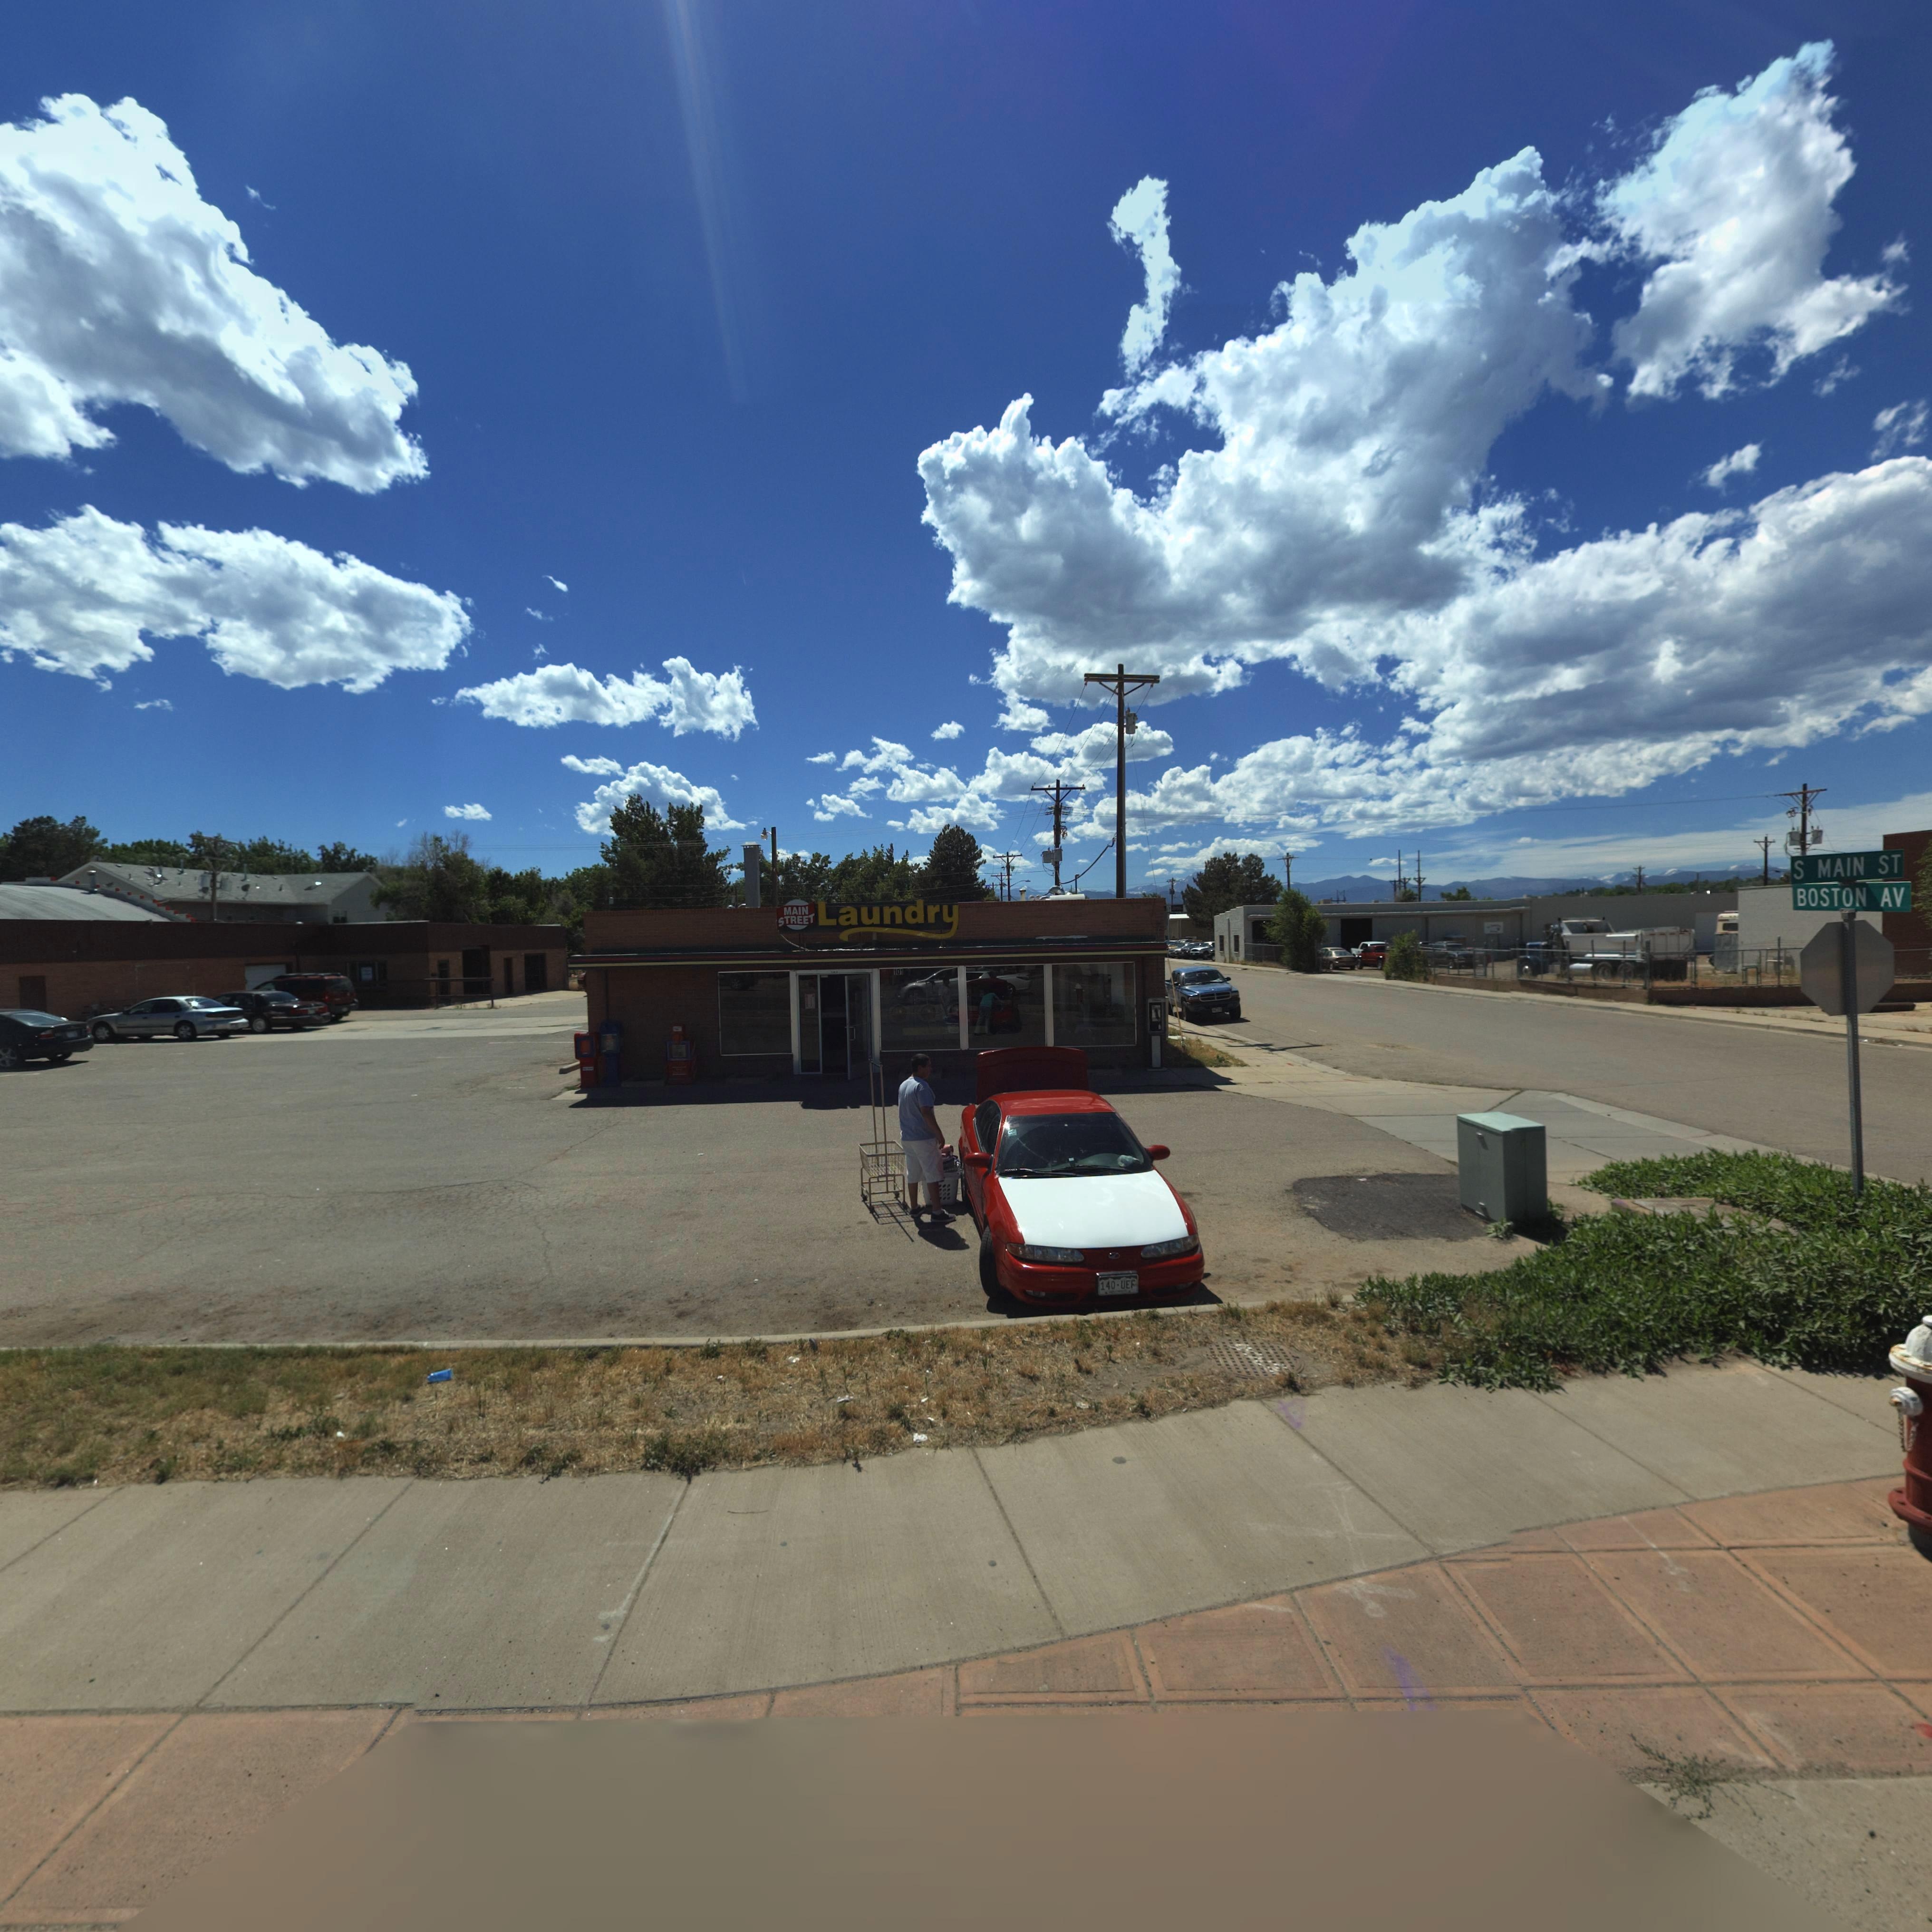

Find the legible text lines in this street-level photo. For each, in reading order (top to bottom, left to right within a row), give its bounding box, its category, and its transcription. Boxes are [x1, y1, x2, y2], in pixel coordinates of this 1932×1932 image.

[1793, 853, 1902, 880] StreetName: S MAIN ST
[1796, 886, 1906, 908] StreetName: BOSTON AV
[783, 906, 808, 915] BusinessName: MAIN
[778, 913, 815, 927] BusinessName: STREET
[817, 898, 959, 937] BusinessName: Laundry
[893, 968, 903, 975] StreetNumber: 101